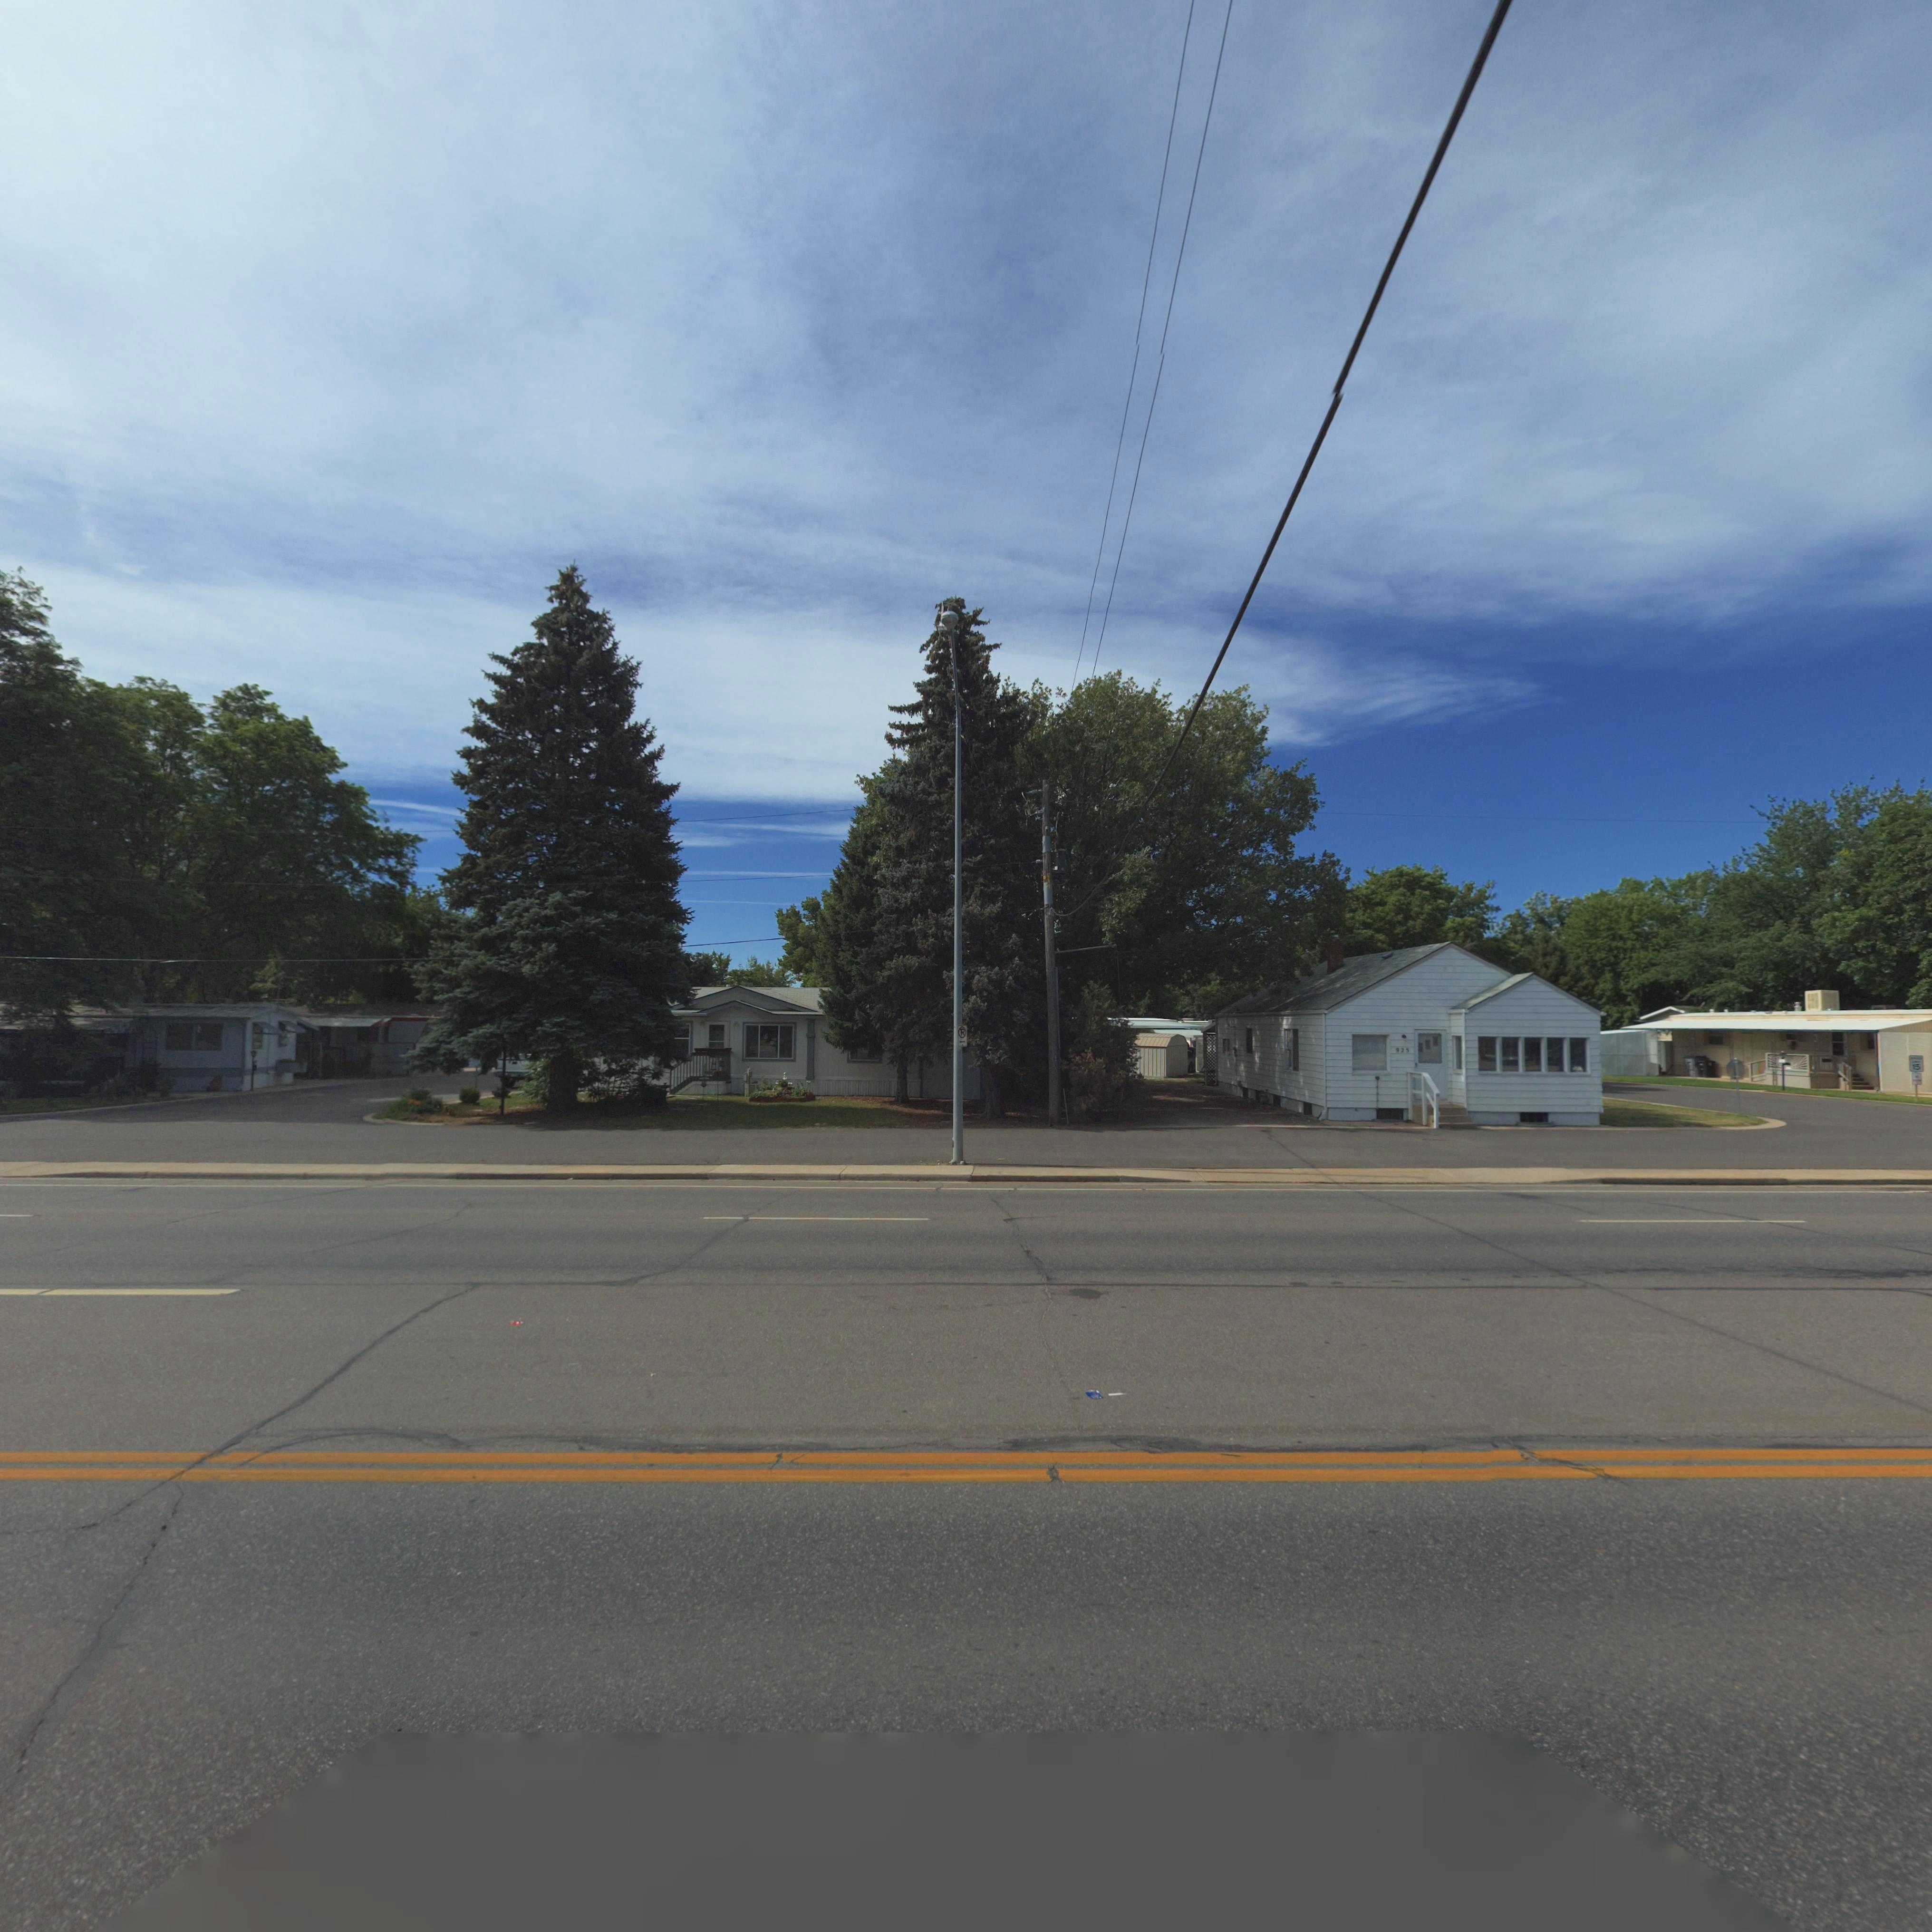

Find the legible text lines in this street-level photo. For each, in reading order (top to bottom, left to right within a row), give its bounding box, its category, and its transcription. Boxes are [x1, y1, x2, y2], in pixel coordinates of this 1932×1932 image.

[1395, 1047, 1409, 1053] StreetNumber: 925